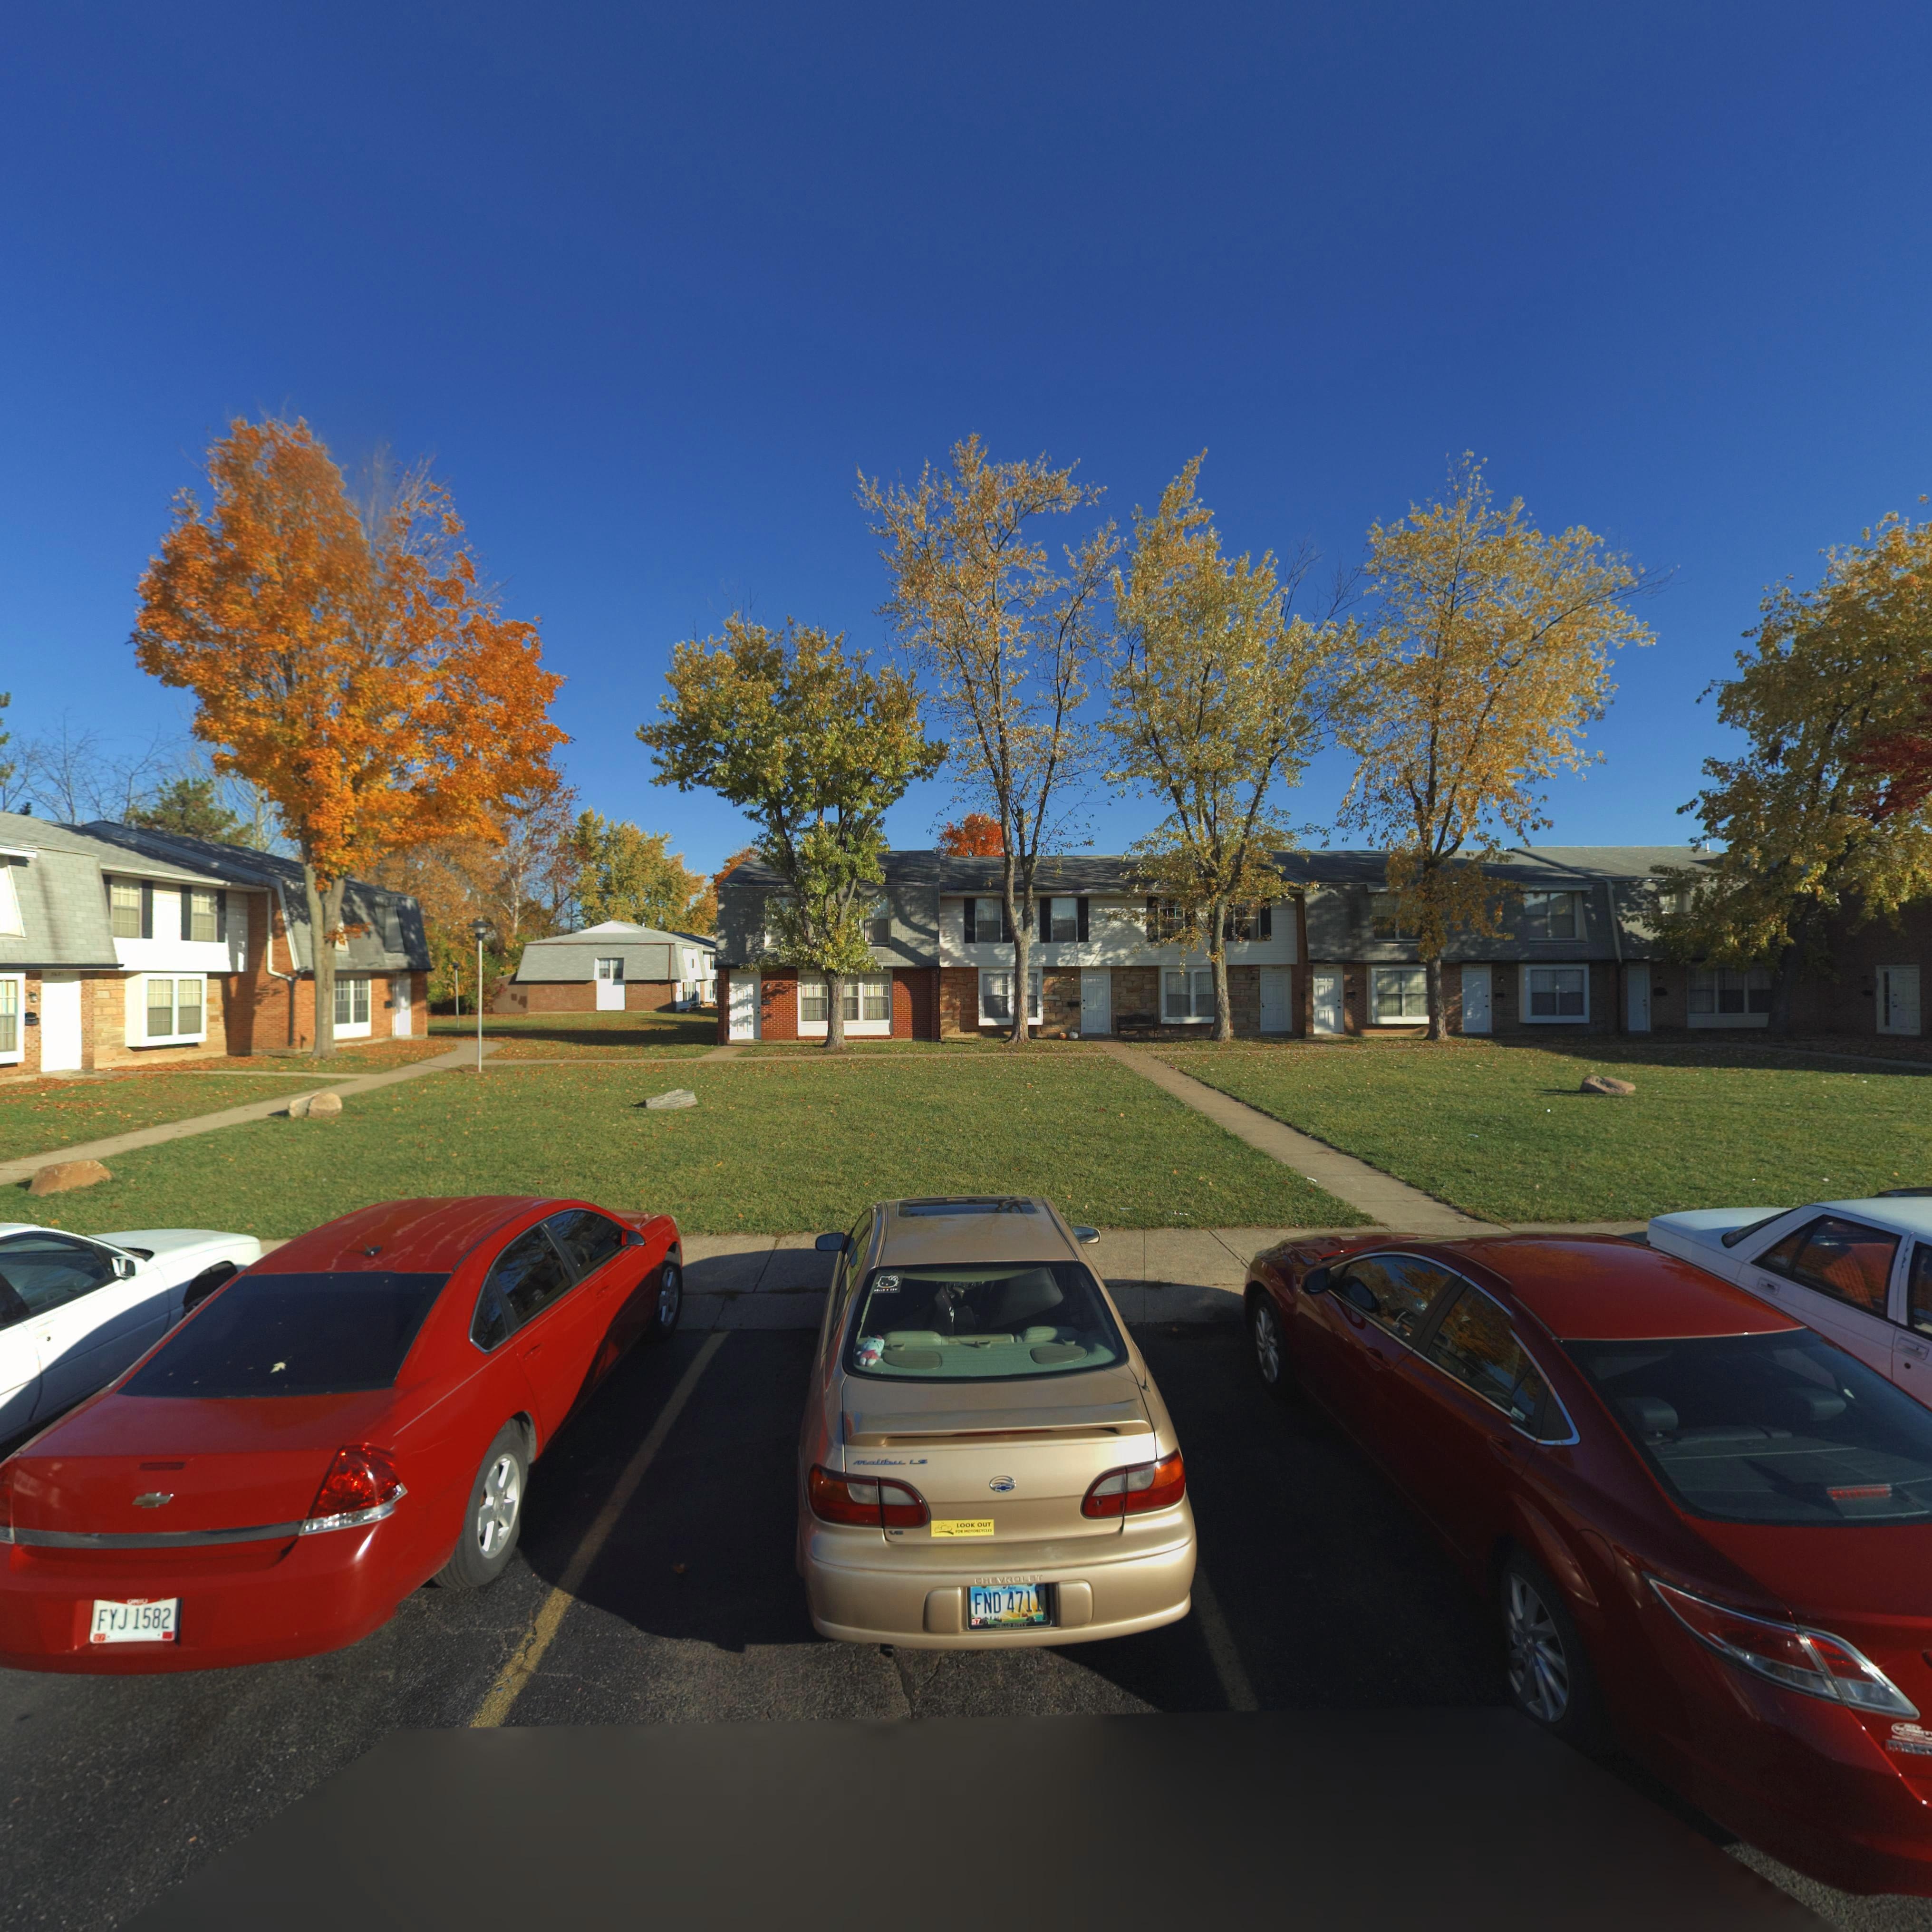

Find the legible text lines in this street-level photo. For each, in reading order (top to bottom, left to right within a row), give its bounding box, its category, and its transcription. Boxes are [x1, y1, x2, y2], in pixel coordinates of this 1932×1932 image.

[740, 969, 750, 975] StreetNumber: 76**
[1091, 967, 1101, 972] StreetNumber: 7691
[1271, 966, 1282, 970] StreetNumber: 769*
[1323, 966, 1334, 970] StreetNumber: 76**
[1469, 965, 1483, 969] StreetNumber: 7697